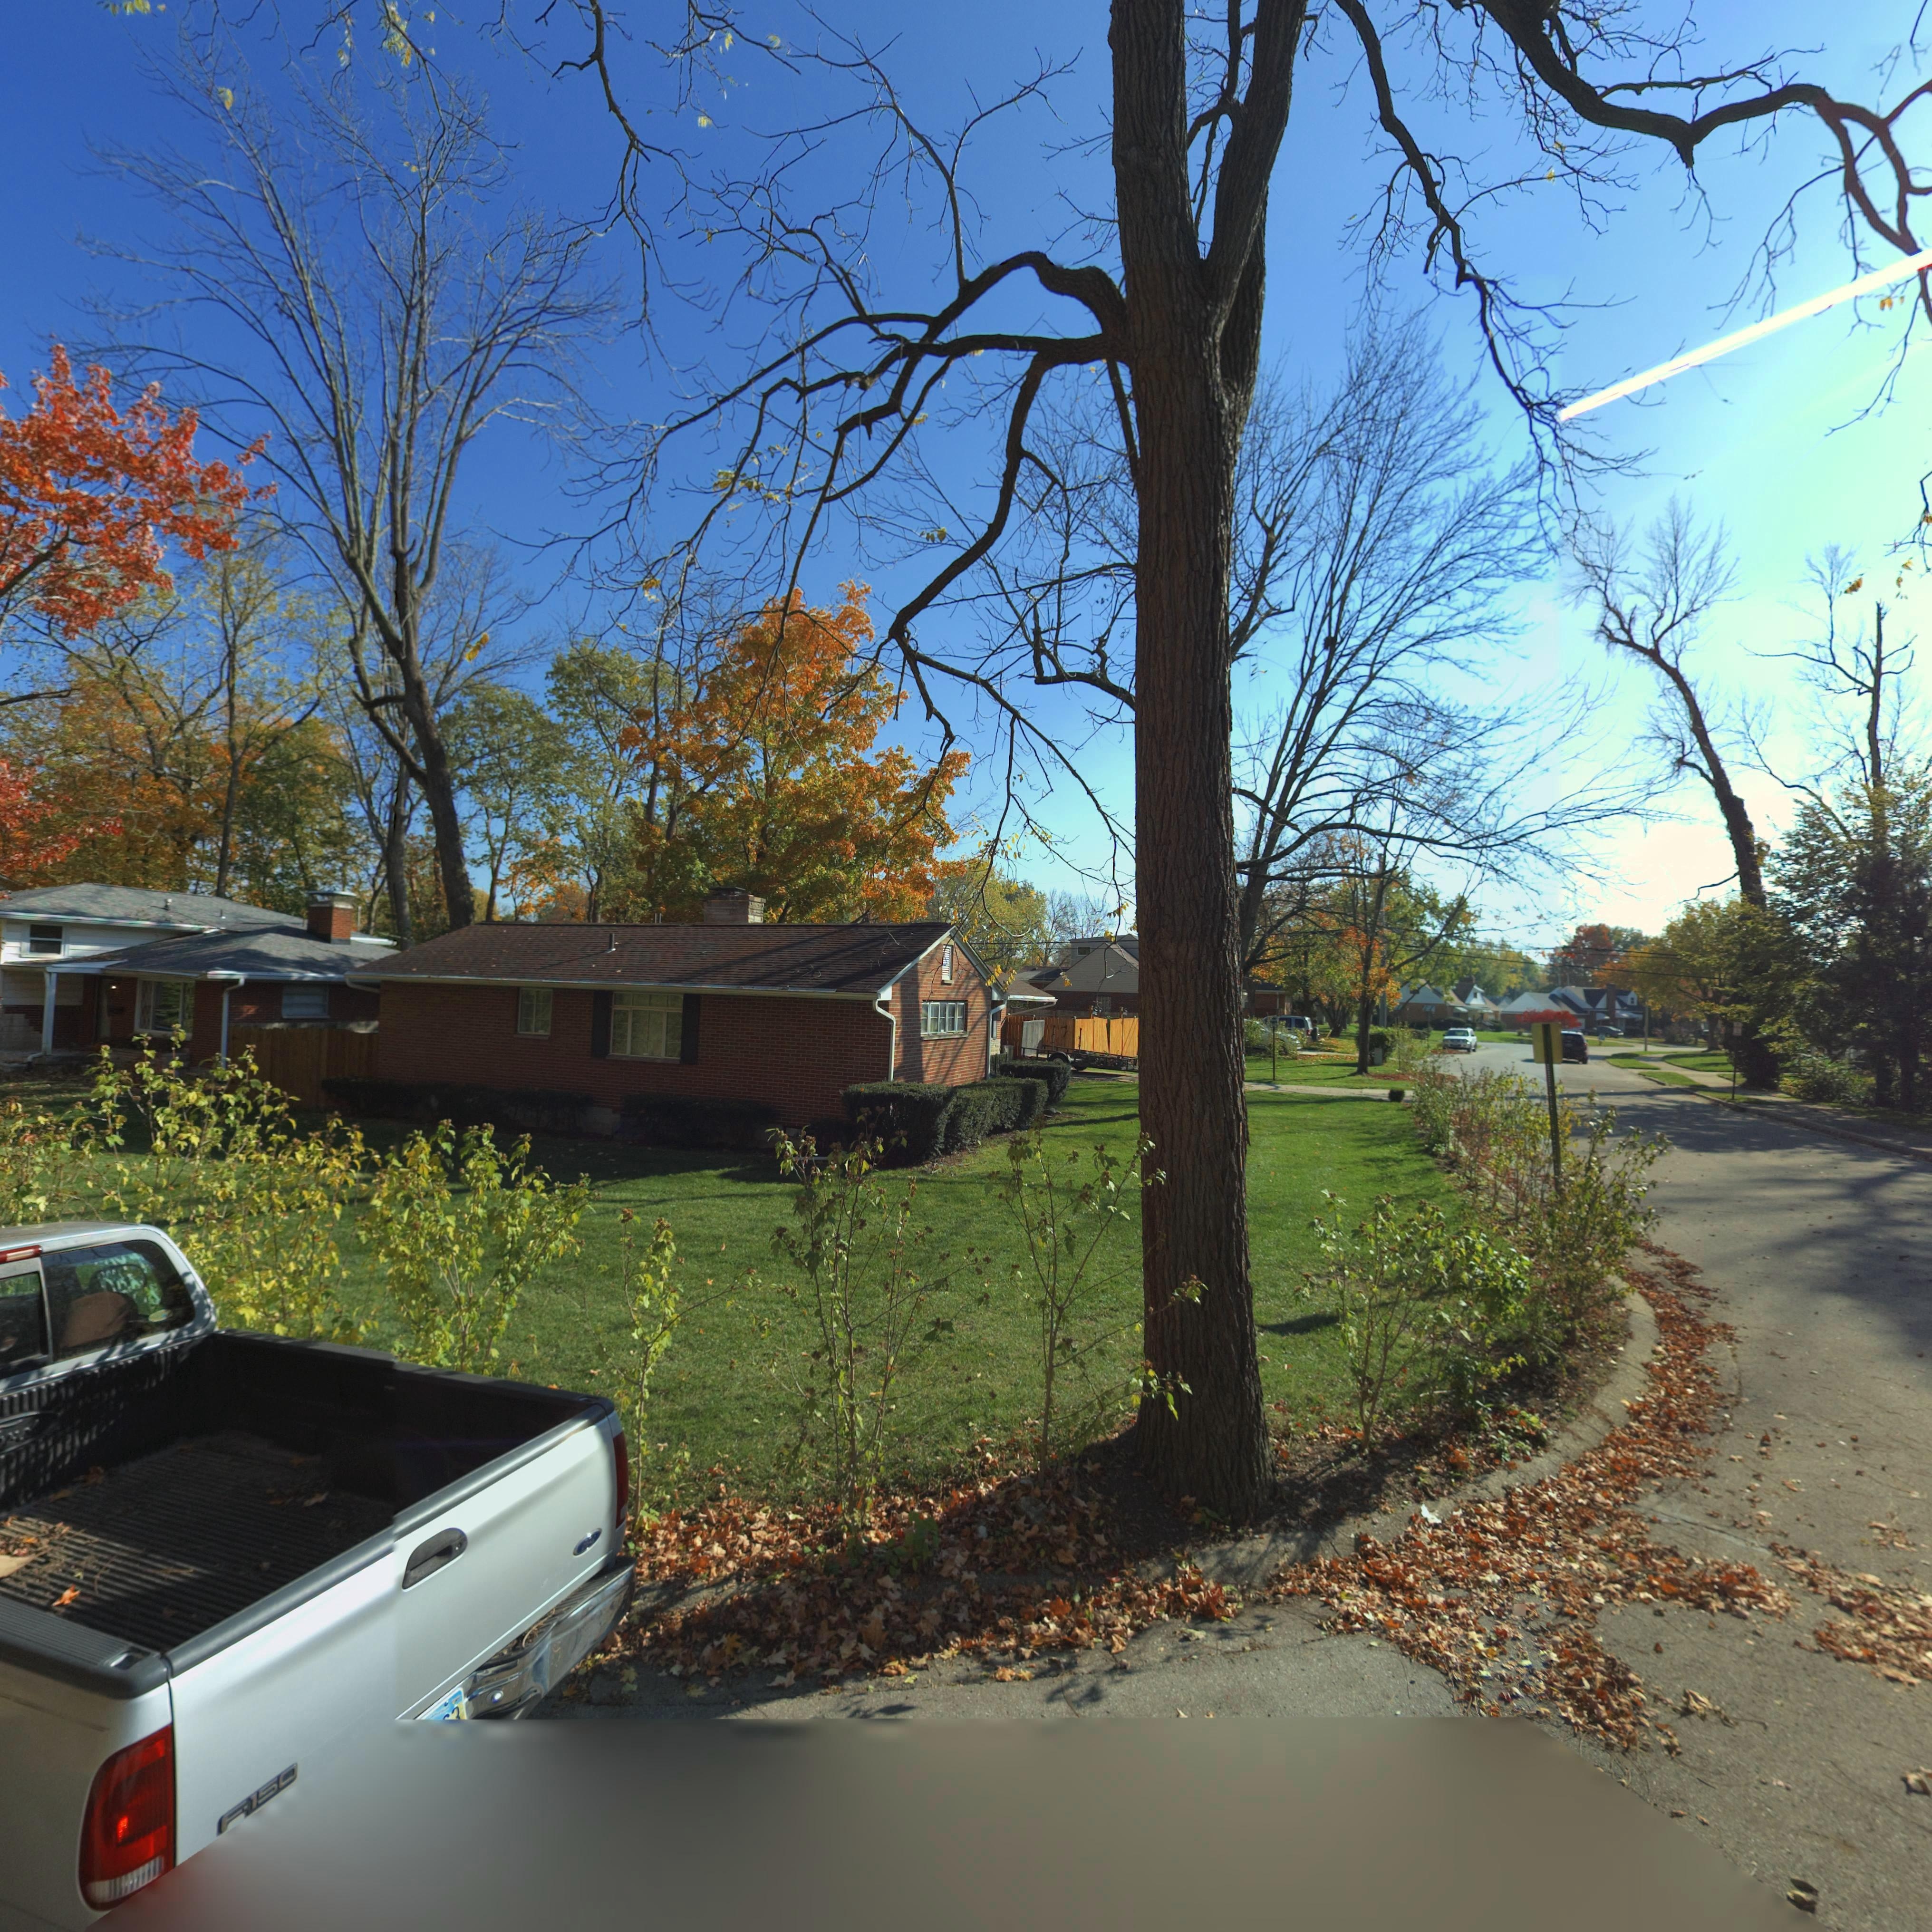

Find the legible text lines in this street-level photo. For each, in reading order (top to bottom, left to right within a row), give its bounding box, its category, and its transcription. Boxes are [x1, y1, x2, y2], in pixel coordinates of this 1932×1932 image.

[0, 1417, 42, 1449] None: rd
[219, 1759, 299, 1836] None: F-150